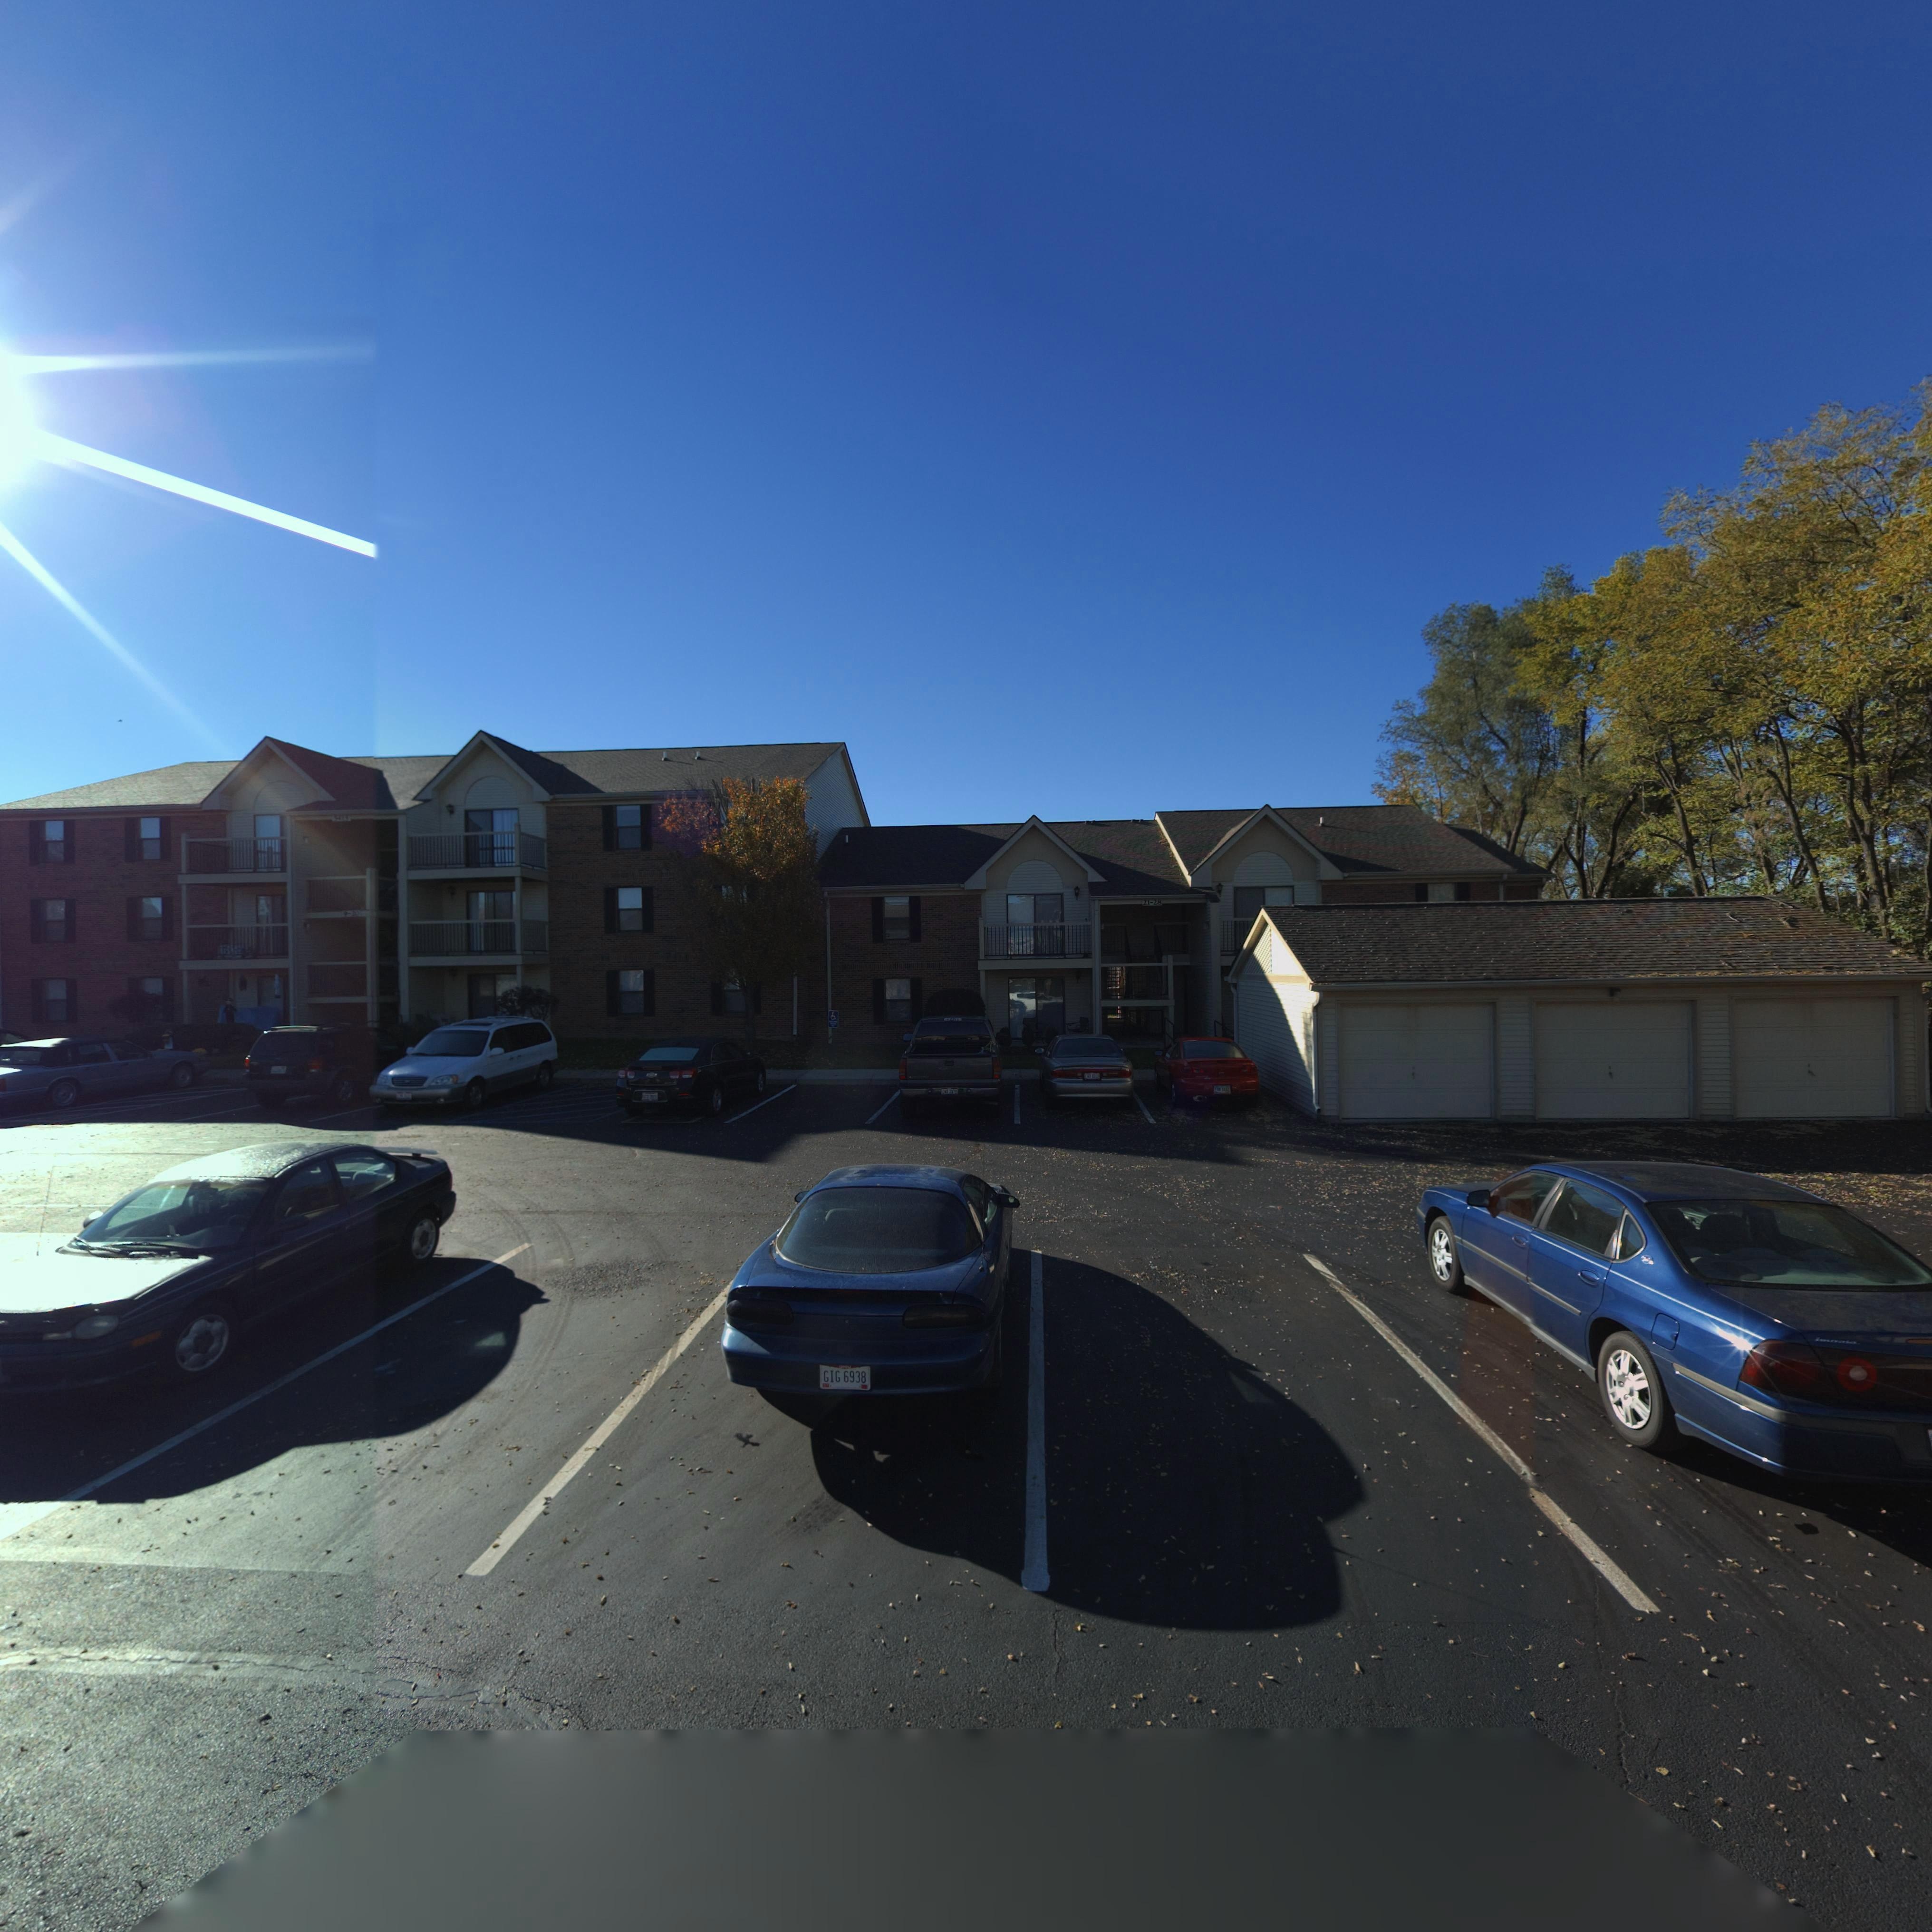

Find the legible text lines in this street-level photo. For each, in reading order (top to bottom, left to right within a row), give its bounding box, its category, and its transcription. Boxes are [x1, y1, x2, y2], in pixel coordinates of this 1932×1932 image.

[333, 814, 348, 821] StreetNumber: 5415
[1142, 898, 1162, 906] StreetNumber: 21-28
[342, 910, 359, 917] StreetNumber: 9-20